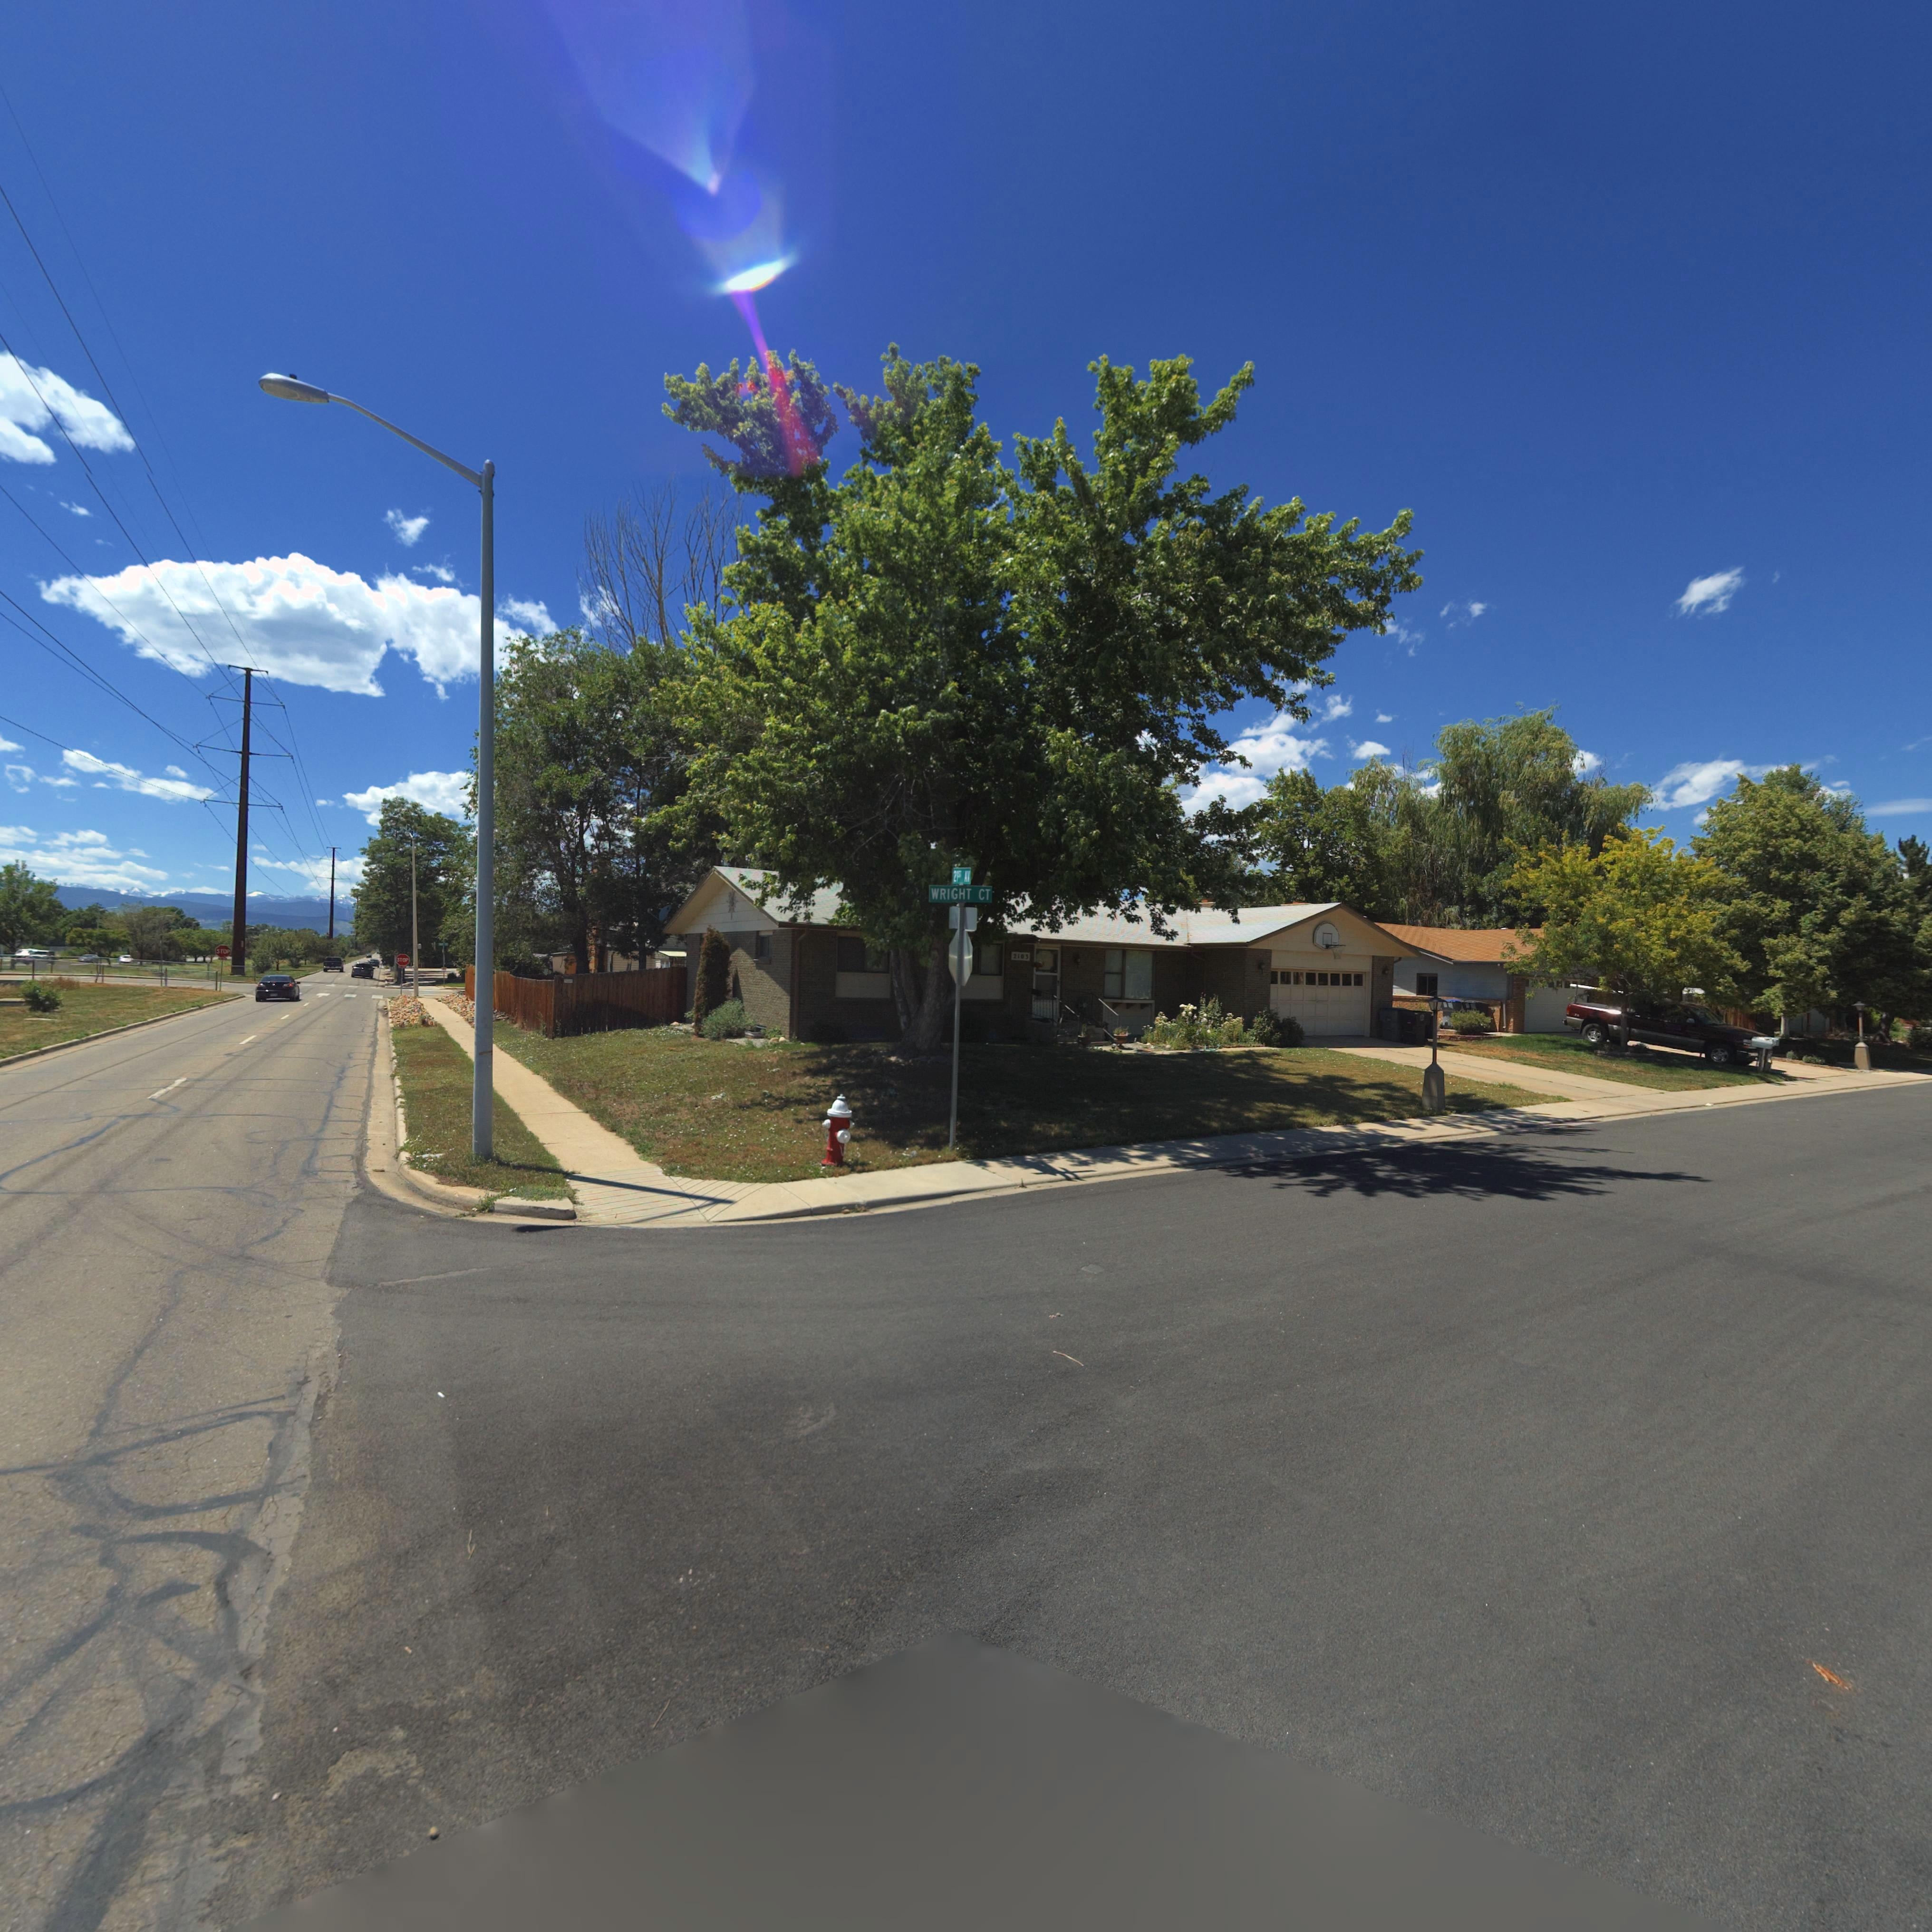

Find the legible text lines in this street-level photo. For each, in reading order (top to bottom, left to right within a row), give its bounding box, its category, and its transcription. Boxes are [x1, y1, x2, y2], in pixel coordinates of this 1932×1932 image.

[953, 870, 971, 882] StreetName: 21ST AV
[930, 887, 991, 900] StreetName: WRIGHT CR
[1013, 954, 1028, 959] StreetNumber: 210*